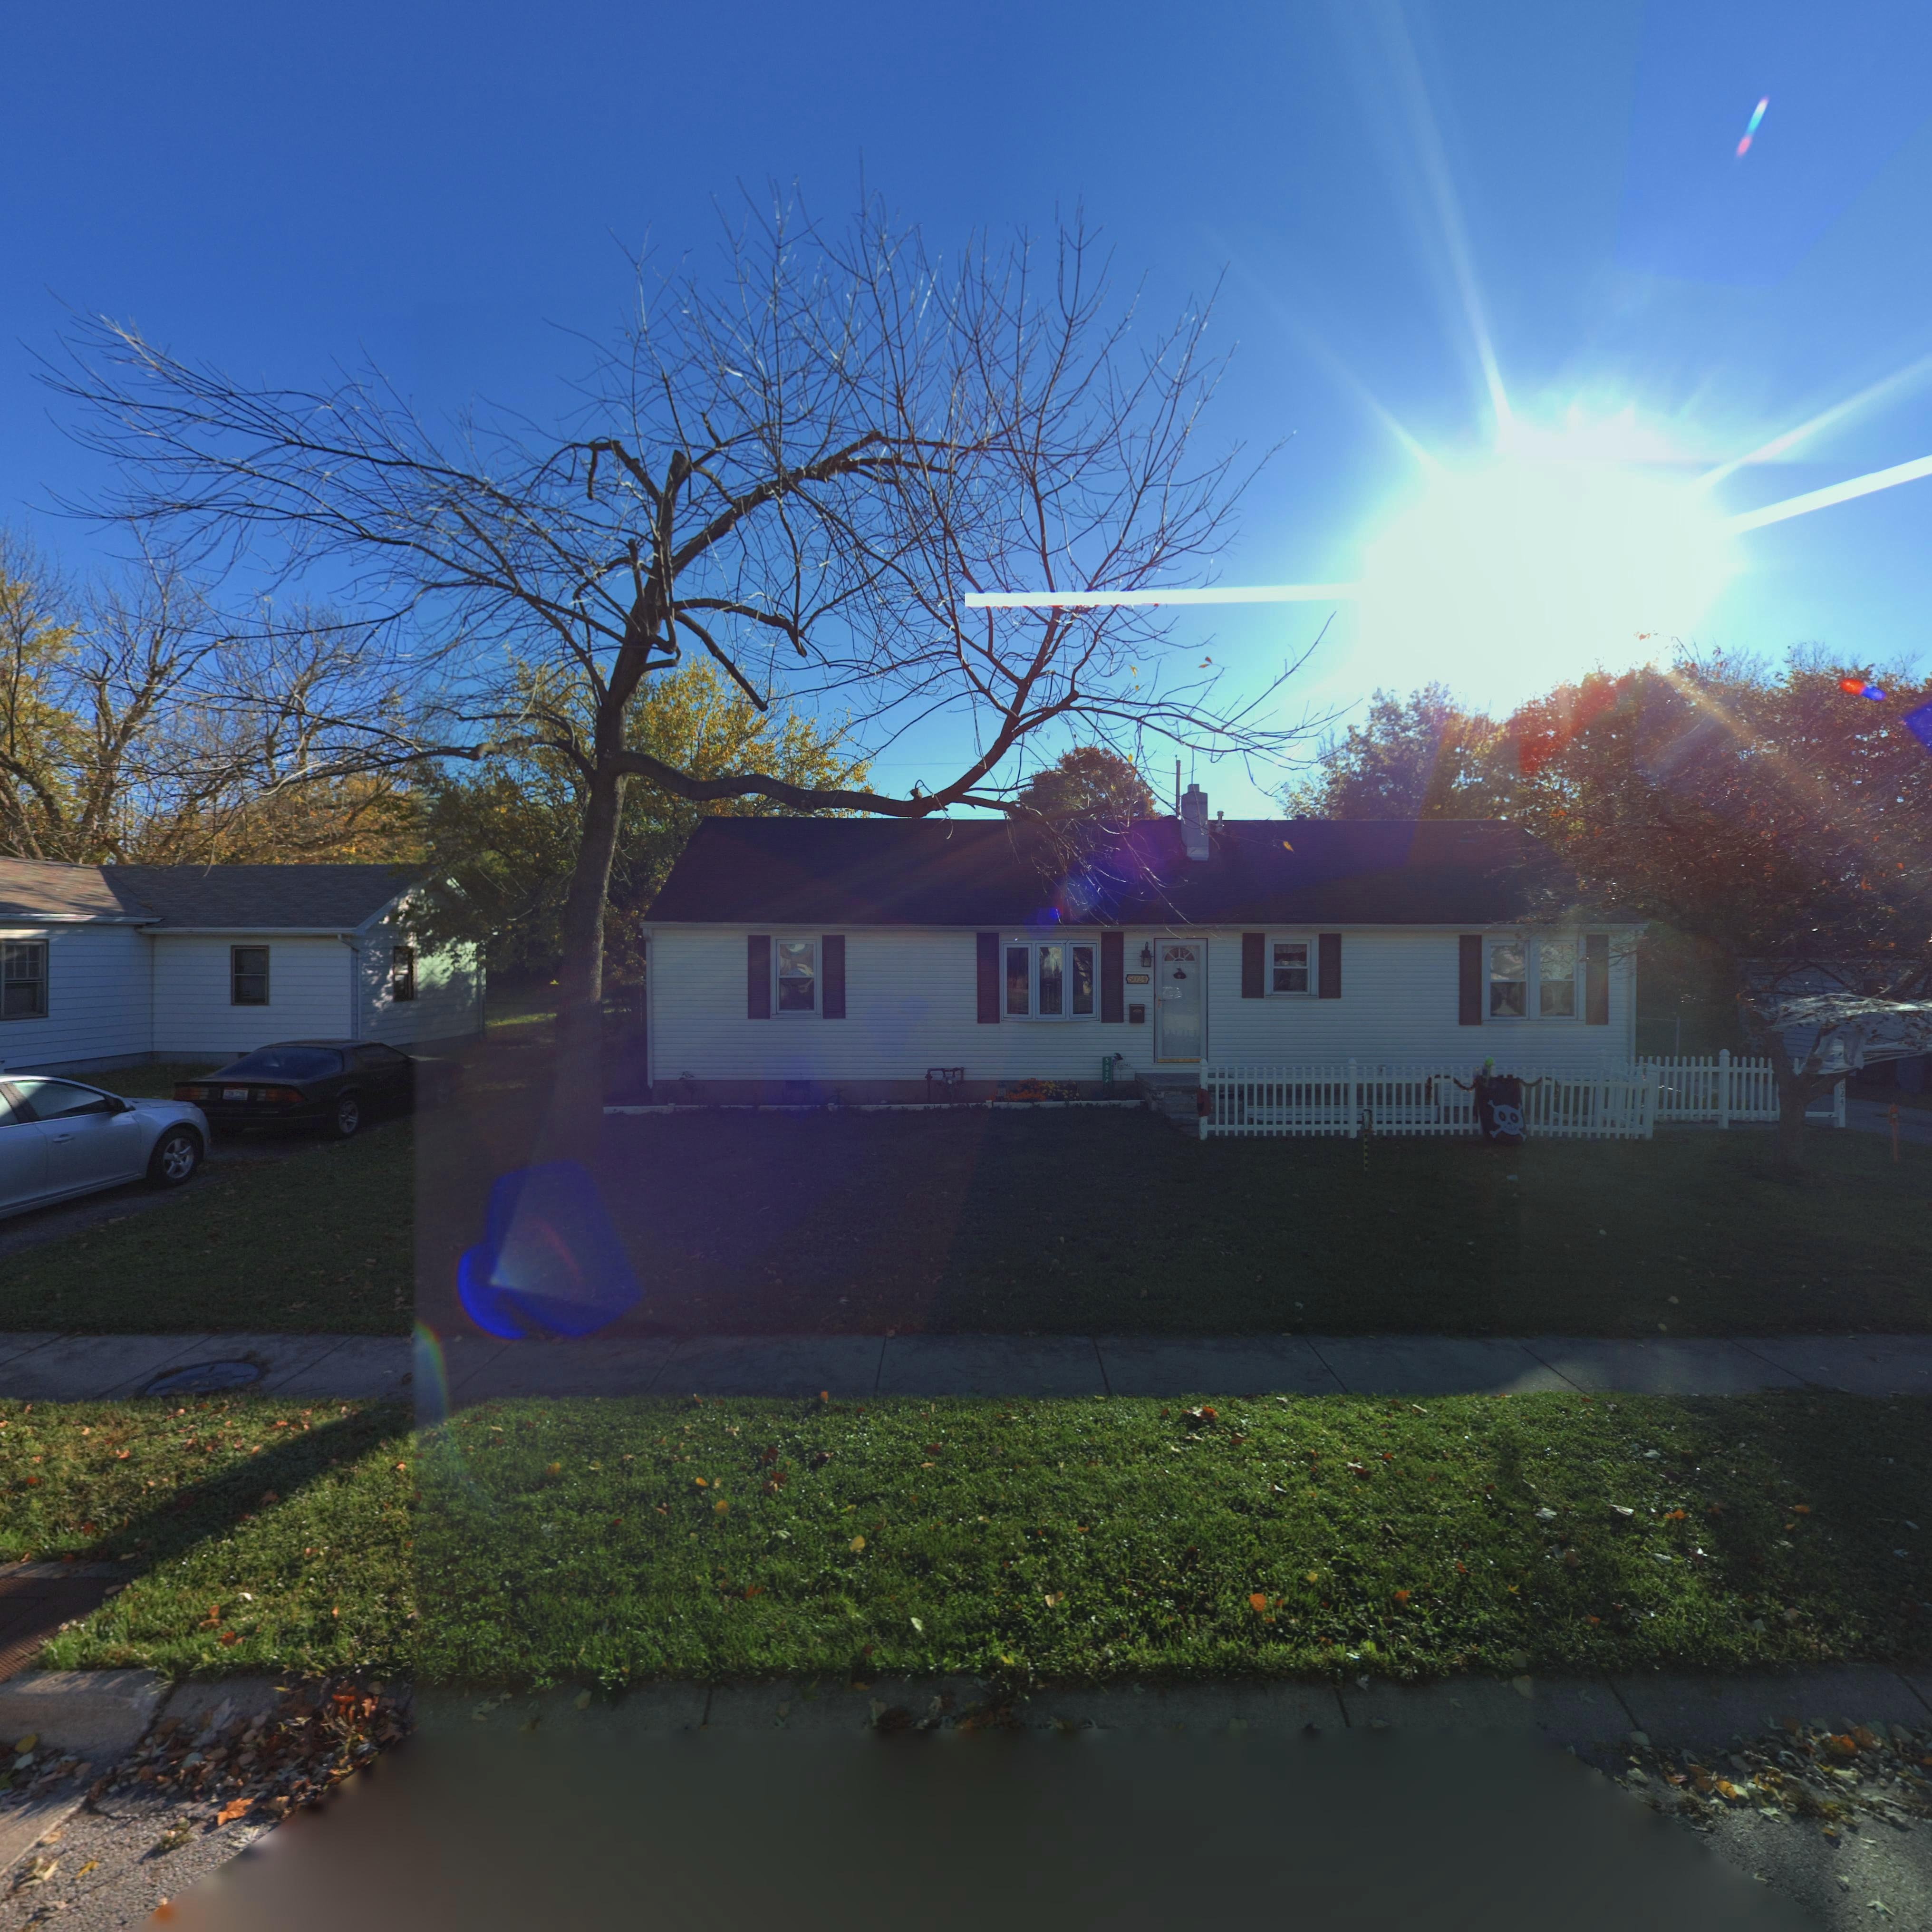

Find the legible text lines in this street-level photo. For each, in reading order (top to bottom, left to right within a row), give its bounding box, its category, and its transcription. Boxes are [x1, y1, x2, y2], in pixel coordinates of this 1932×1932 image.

[1128, 975, 1147, 983] StreetNumber: 5024
[1105, 1057, 1110, 1083] StreetNumber: 502*